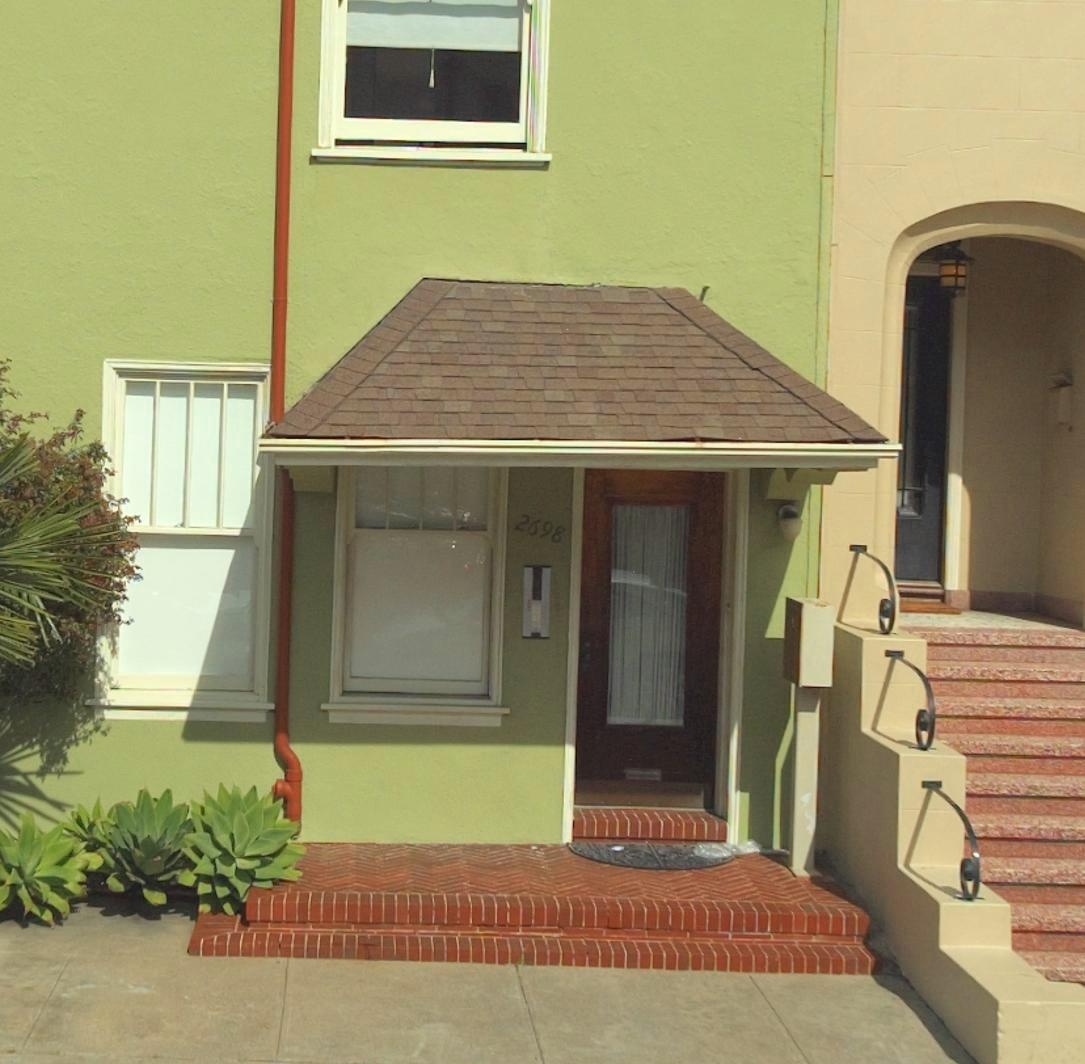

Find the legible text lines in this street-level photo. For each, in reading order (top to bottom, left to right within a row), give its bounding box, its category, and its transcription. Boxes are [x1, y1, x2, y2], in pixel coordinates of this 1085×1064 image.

[510, 511, 571, 546] StreetNumber: 2698